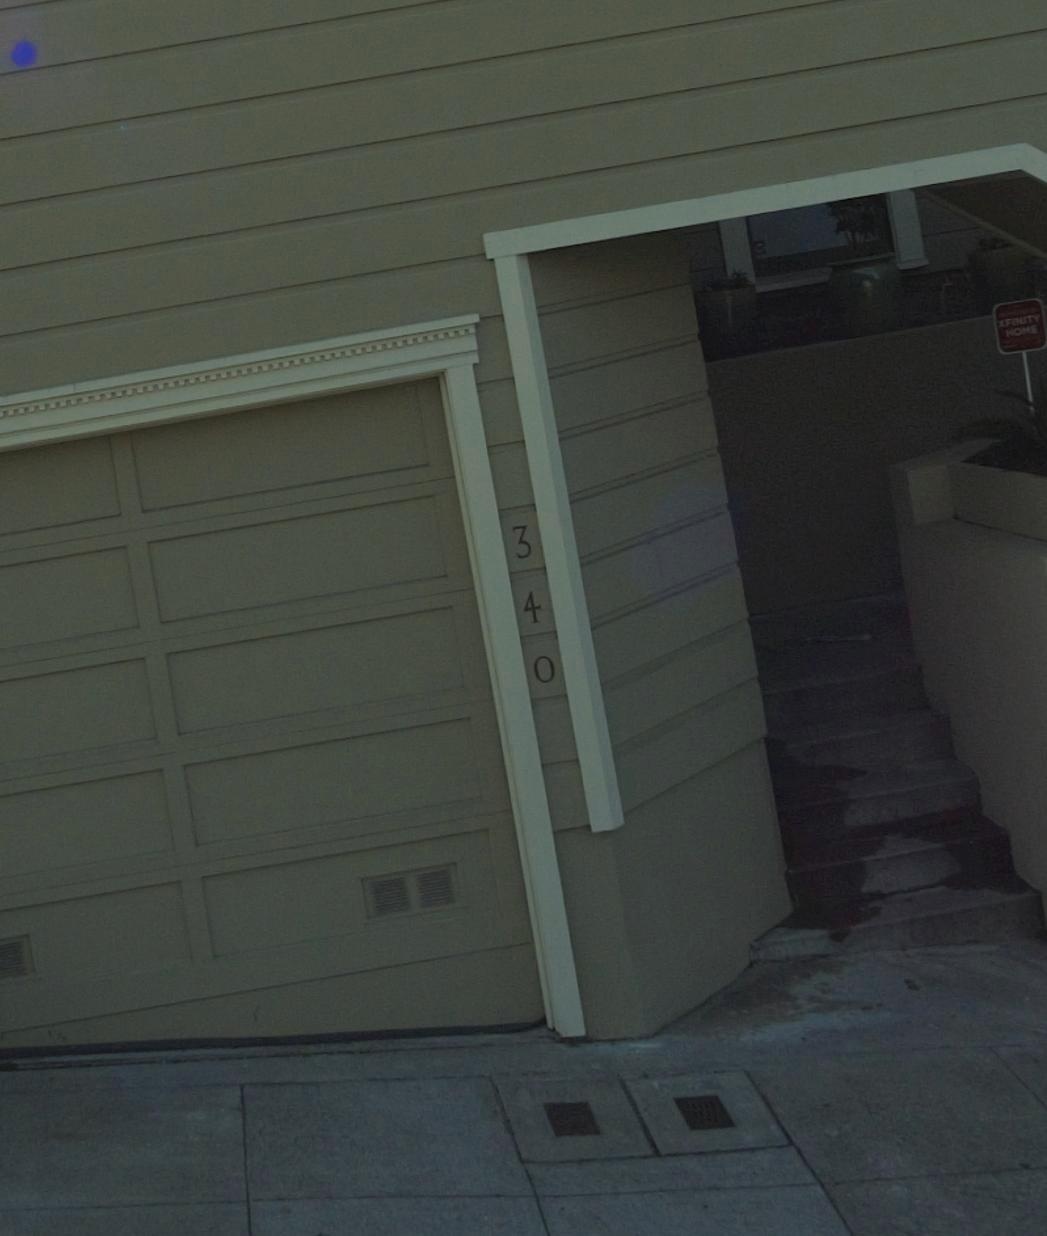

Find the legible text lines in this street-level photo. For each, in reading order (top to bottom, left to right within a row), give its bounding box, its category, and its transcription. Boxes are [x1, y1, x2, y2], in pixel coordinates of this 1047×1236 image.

[997, 313, 1041, 329] None: XFINITY
[1006, 324, 1040, 338] None: HOME
[510, 524, 559, 688] StreetNumber: 340